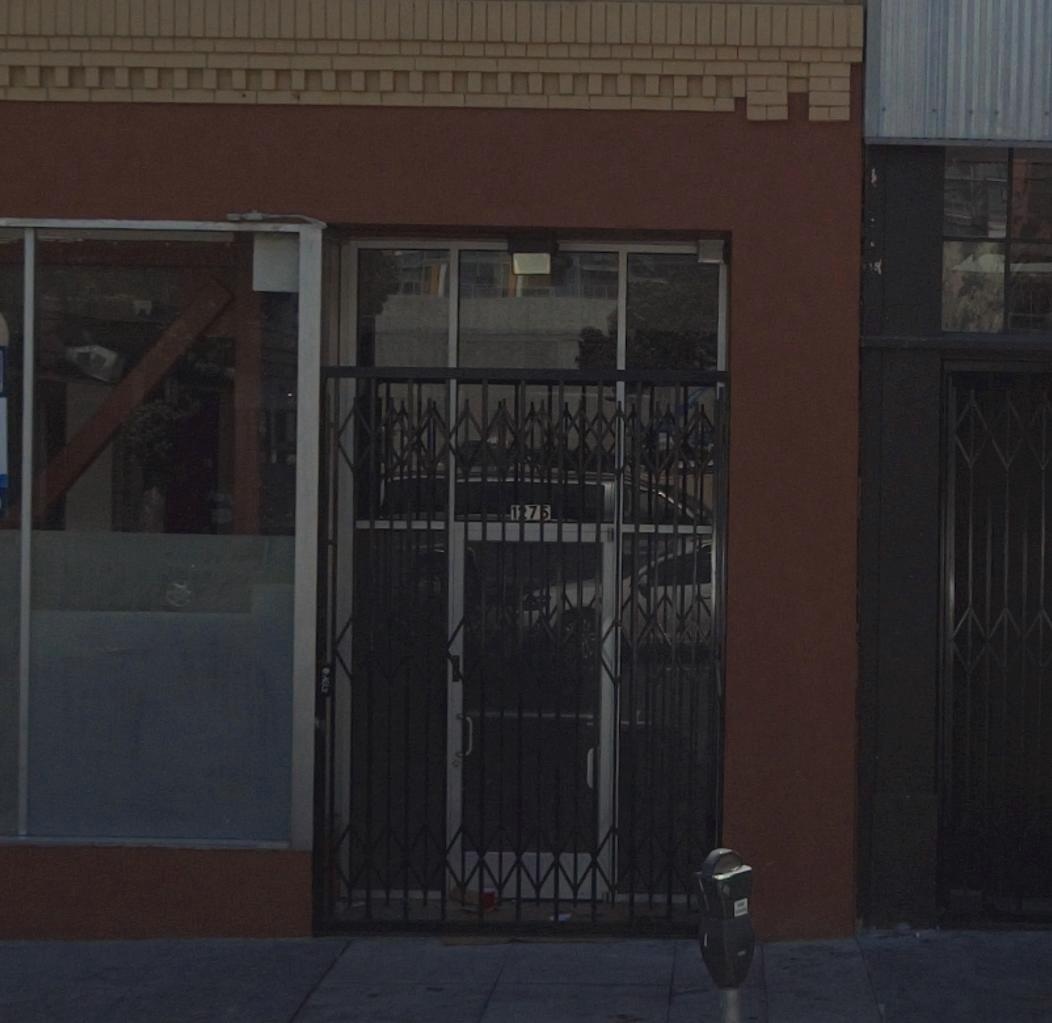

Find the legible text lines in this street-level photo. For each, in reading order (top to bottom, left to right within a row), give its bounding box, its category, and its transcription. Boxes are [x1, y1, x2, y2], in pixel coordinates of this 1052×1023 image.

[510, 505, 549, 521] StreetNumber: 1275